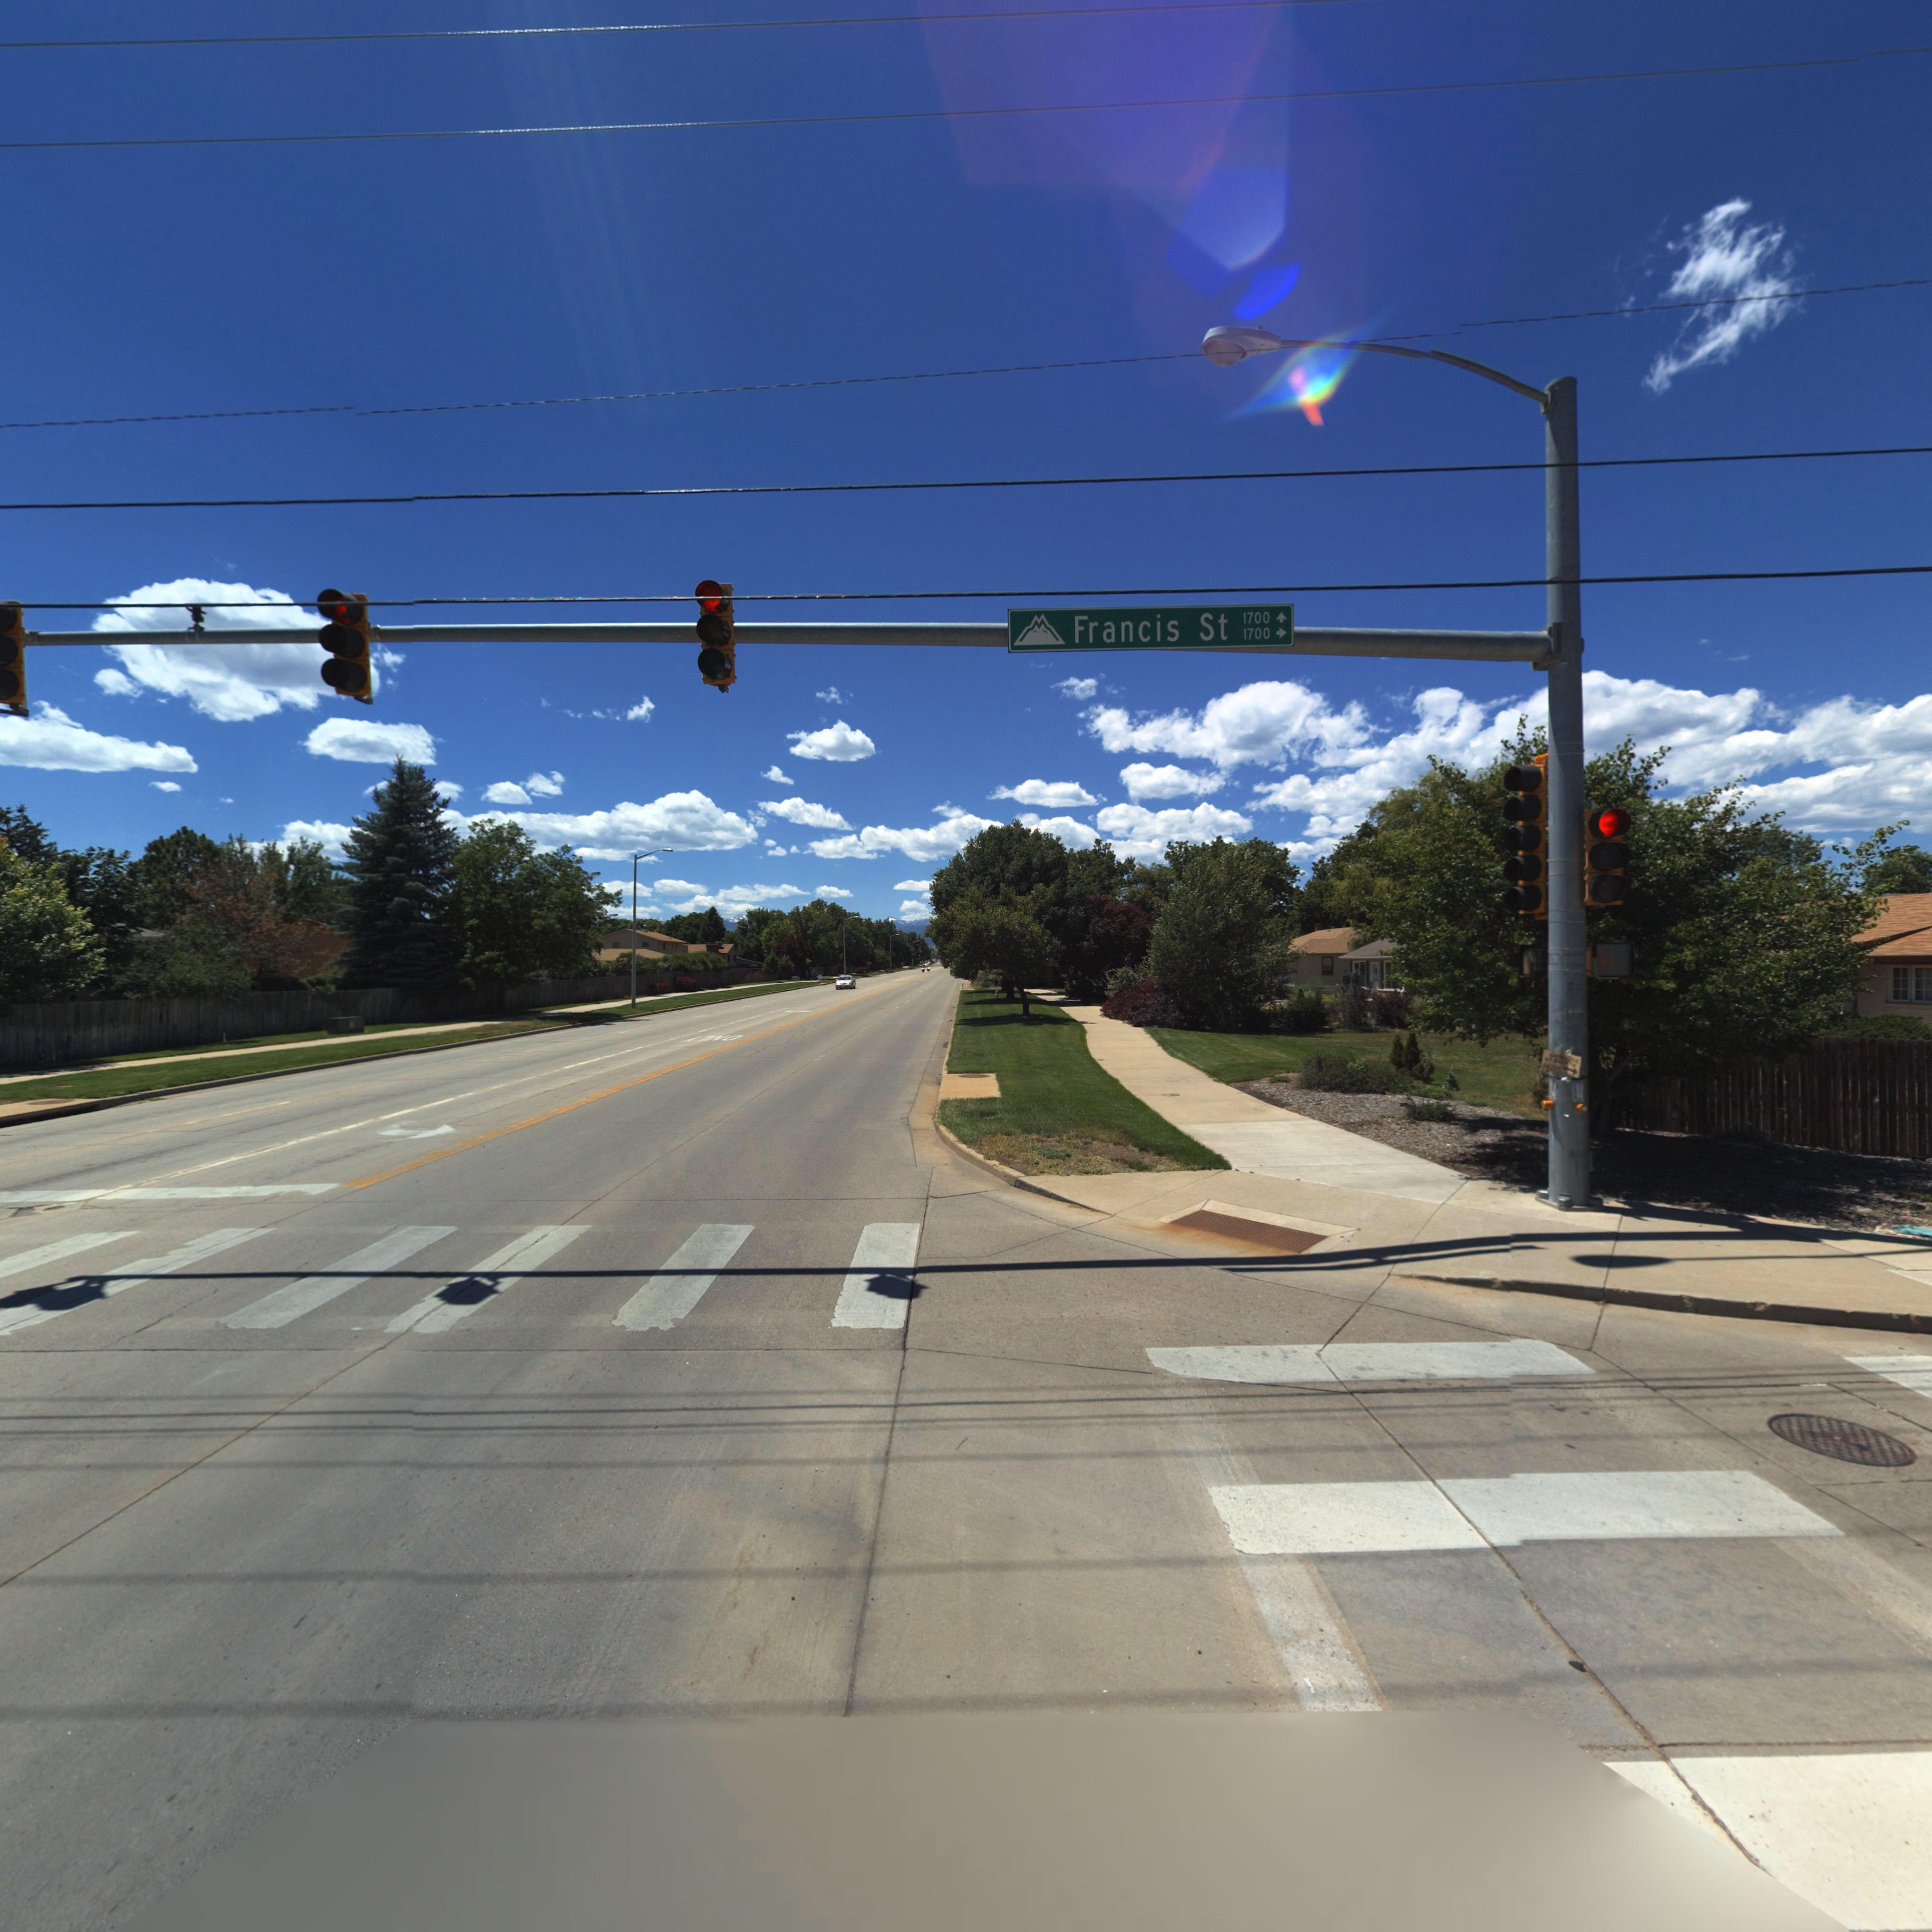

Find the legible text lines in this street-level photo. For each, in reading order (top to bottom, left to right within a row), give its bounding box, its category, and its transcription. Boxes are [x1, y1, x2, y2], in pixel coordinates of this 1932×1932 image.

[1241, 610, 1271, 624] StreetNumberRange: 1700
[1073, 611, 1229, 644] StreetName: Francis St
[1242, 626, 1289, 640] StreetNumberRange: 1700 ->